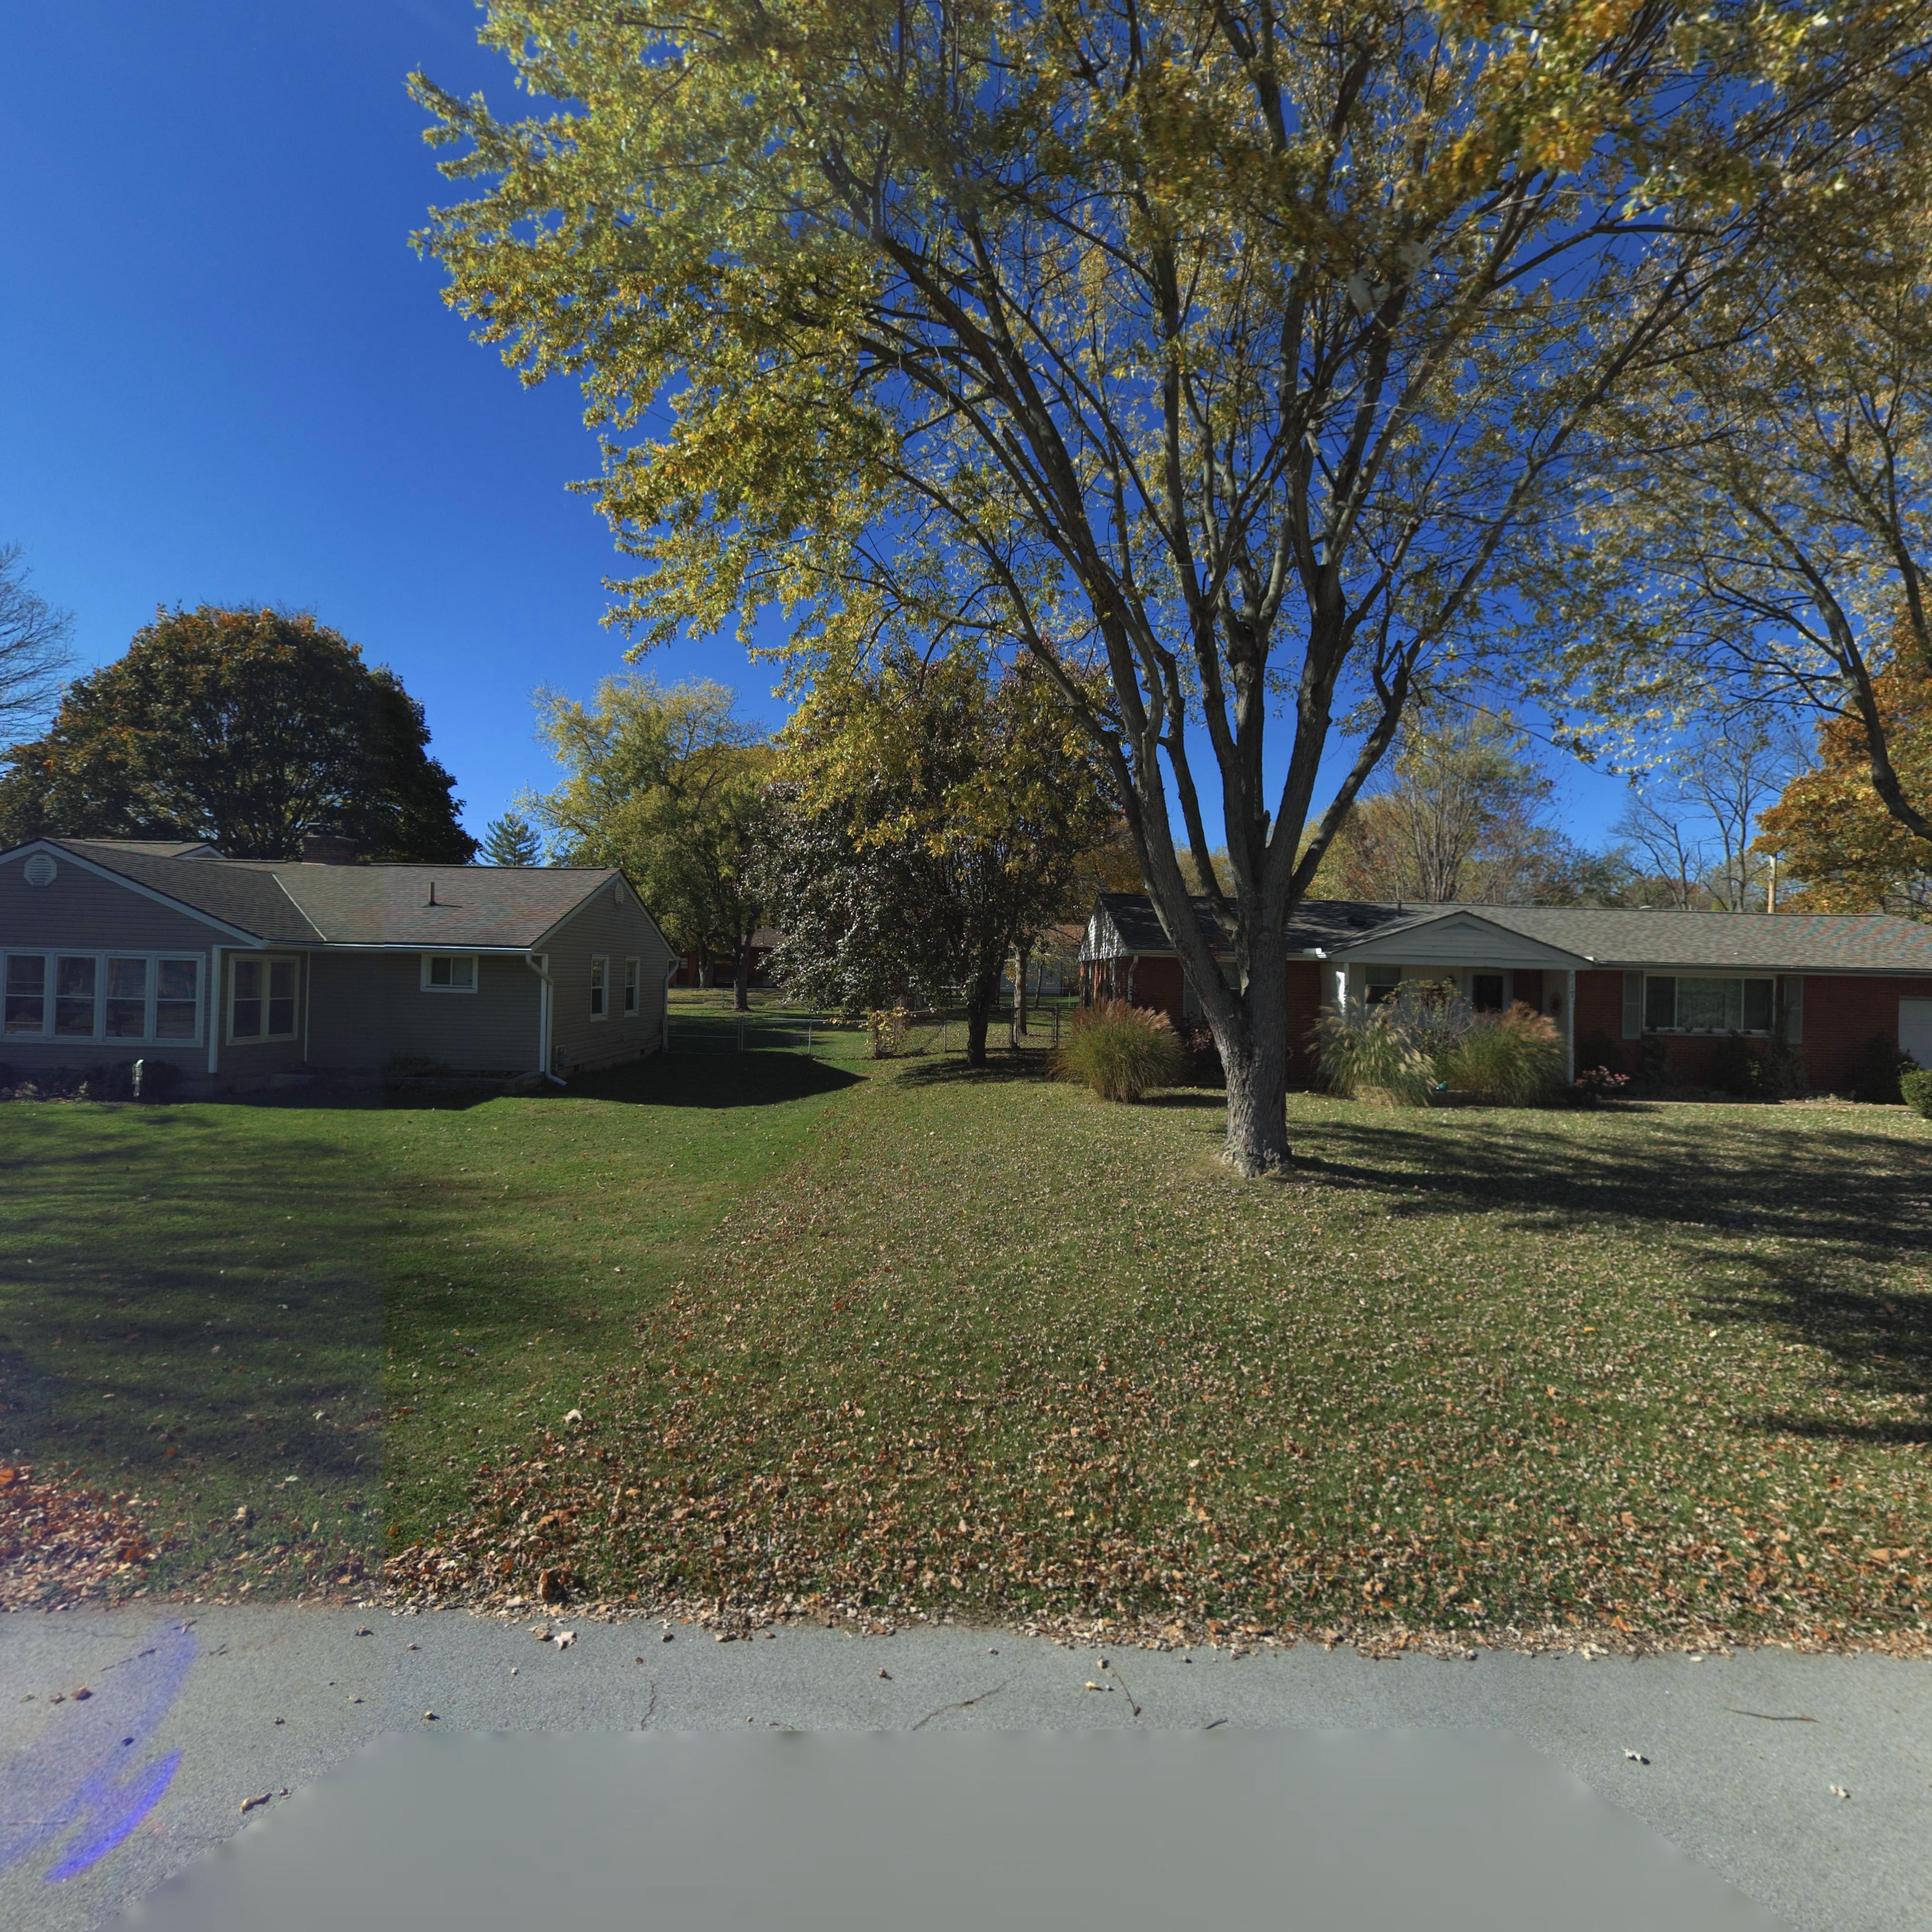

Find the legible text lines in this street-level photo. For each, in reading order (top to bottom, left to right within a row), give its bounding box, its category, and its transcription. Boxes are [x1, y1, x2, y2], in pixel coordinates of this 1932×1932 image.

[1568, 973, 1575, 999] StreetNumber: 717